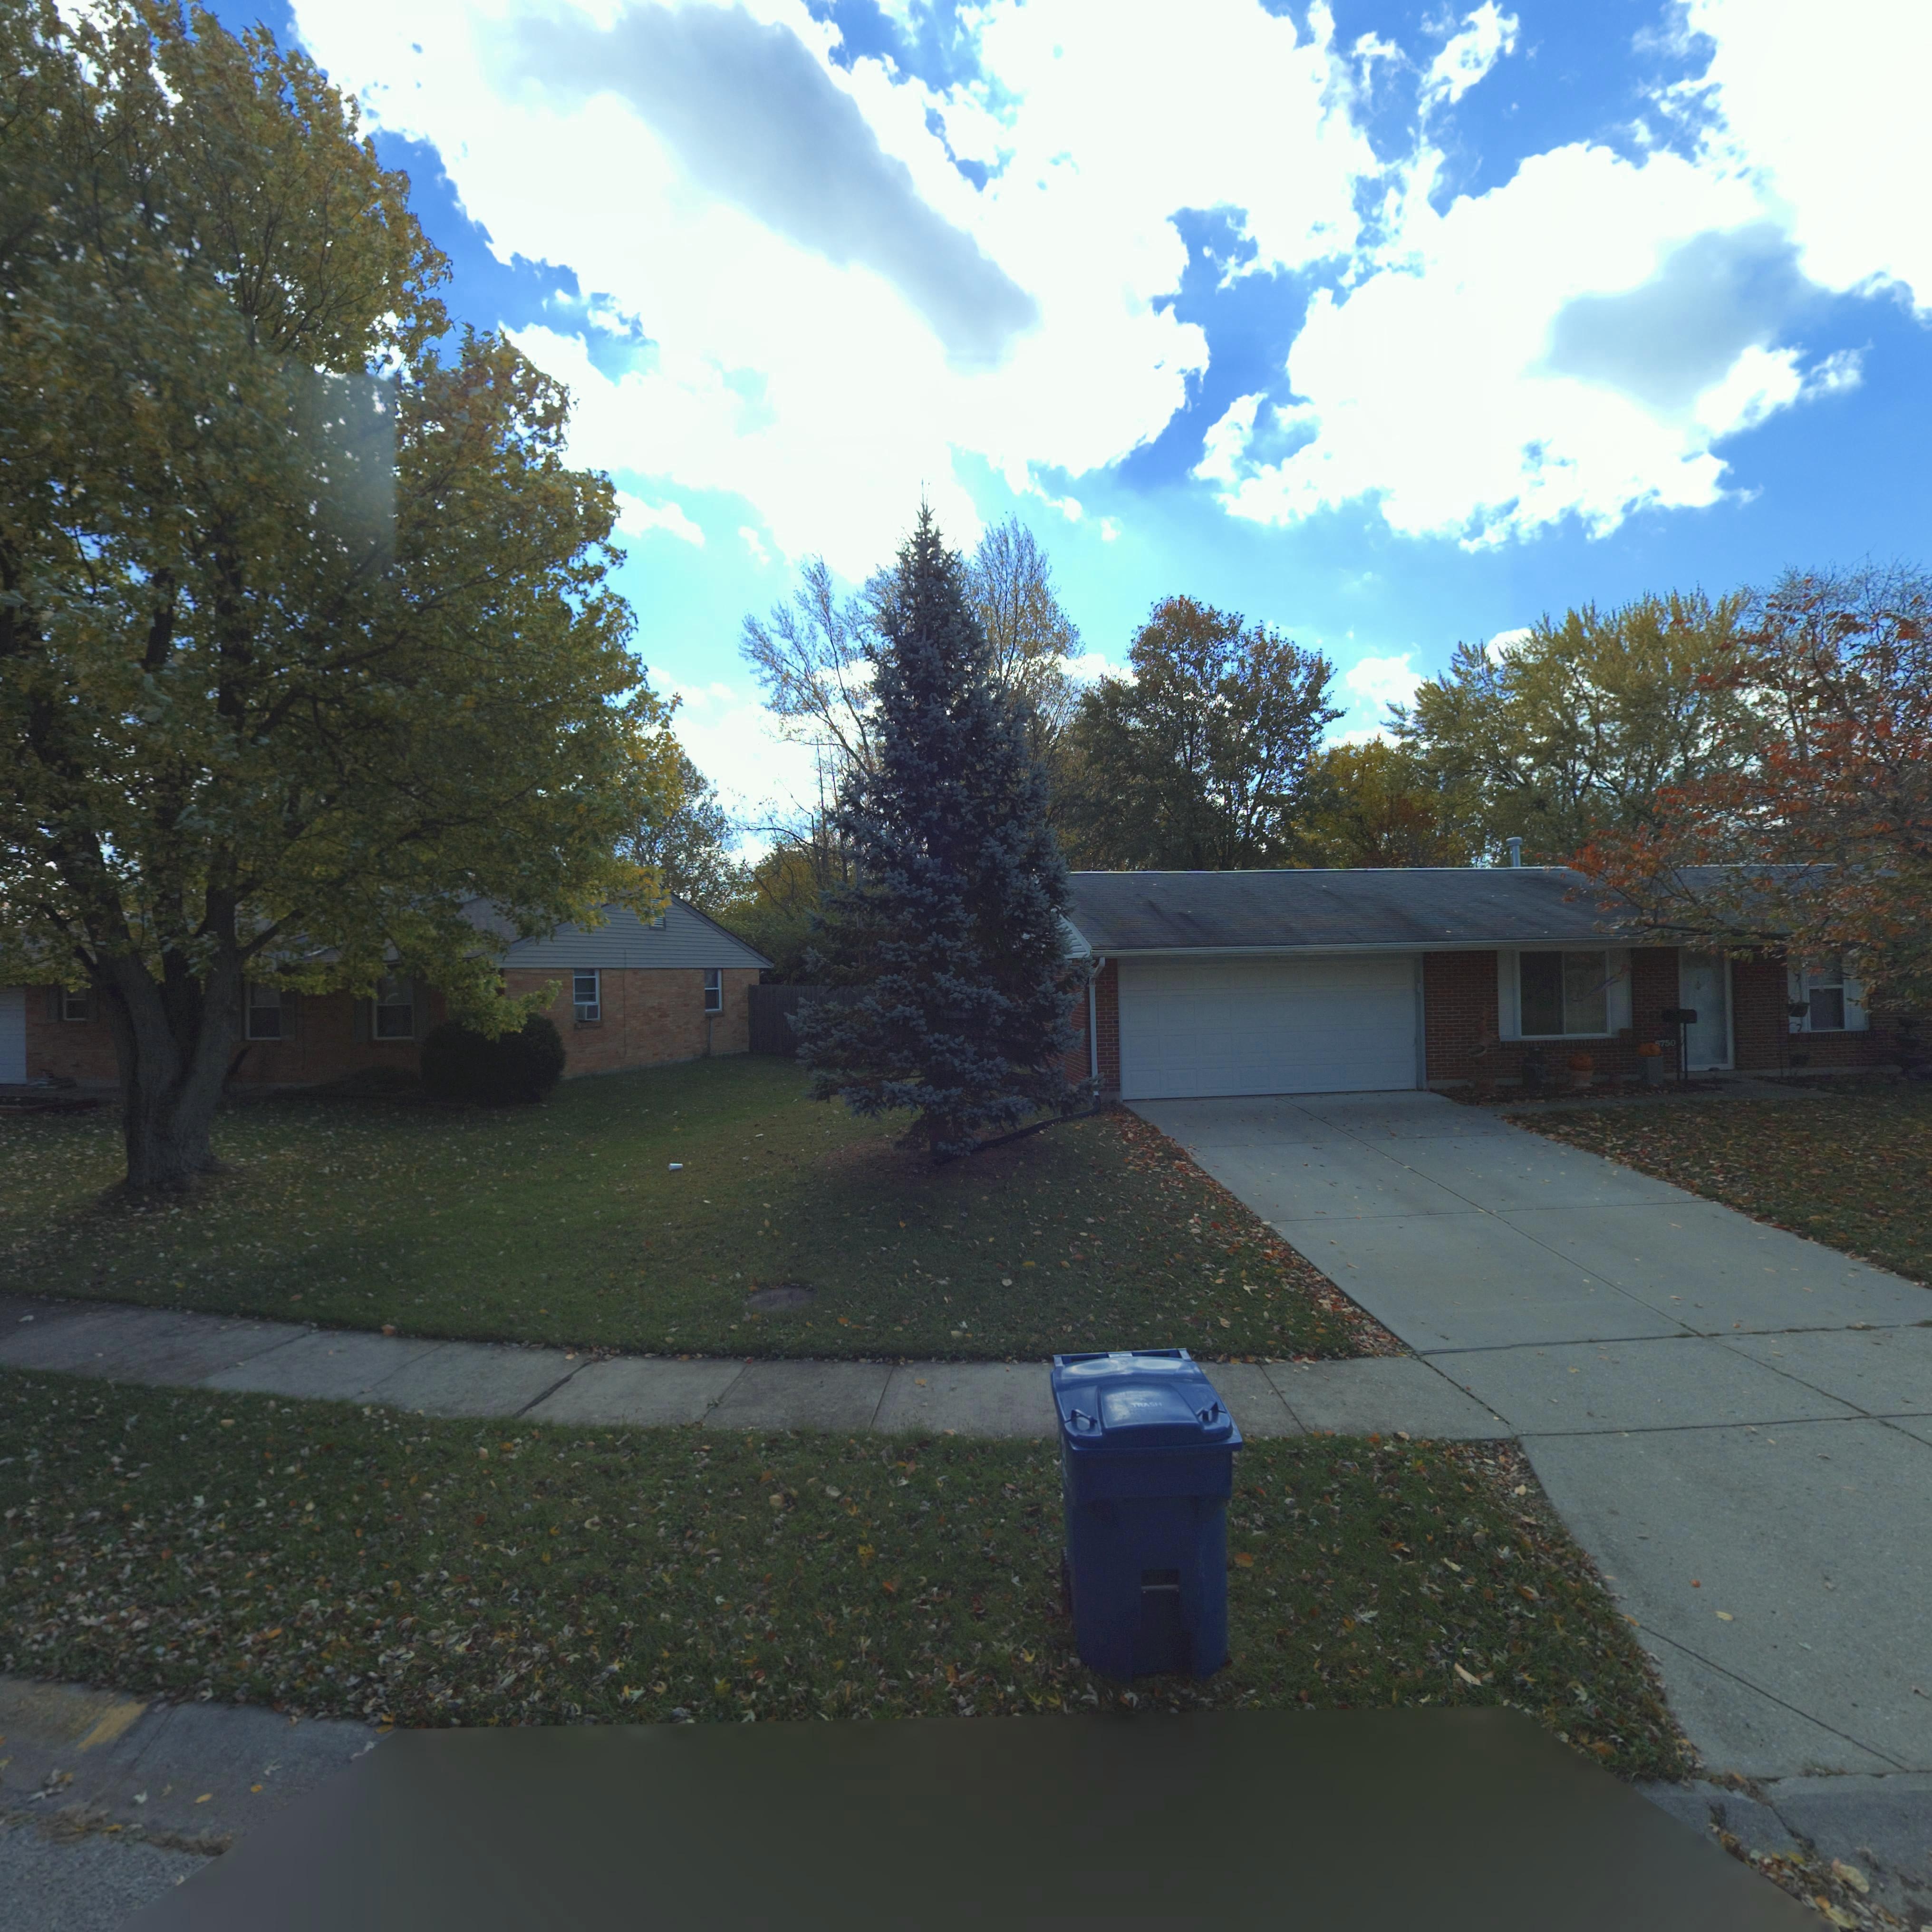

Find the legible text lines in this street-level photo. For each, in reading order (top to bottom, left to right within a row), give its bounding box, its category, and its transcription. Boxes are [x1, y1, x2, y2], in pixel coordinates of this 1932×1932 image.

[1660, 1039, 1676, 1047] StreetNumber: 750